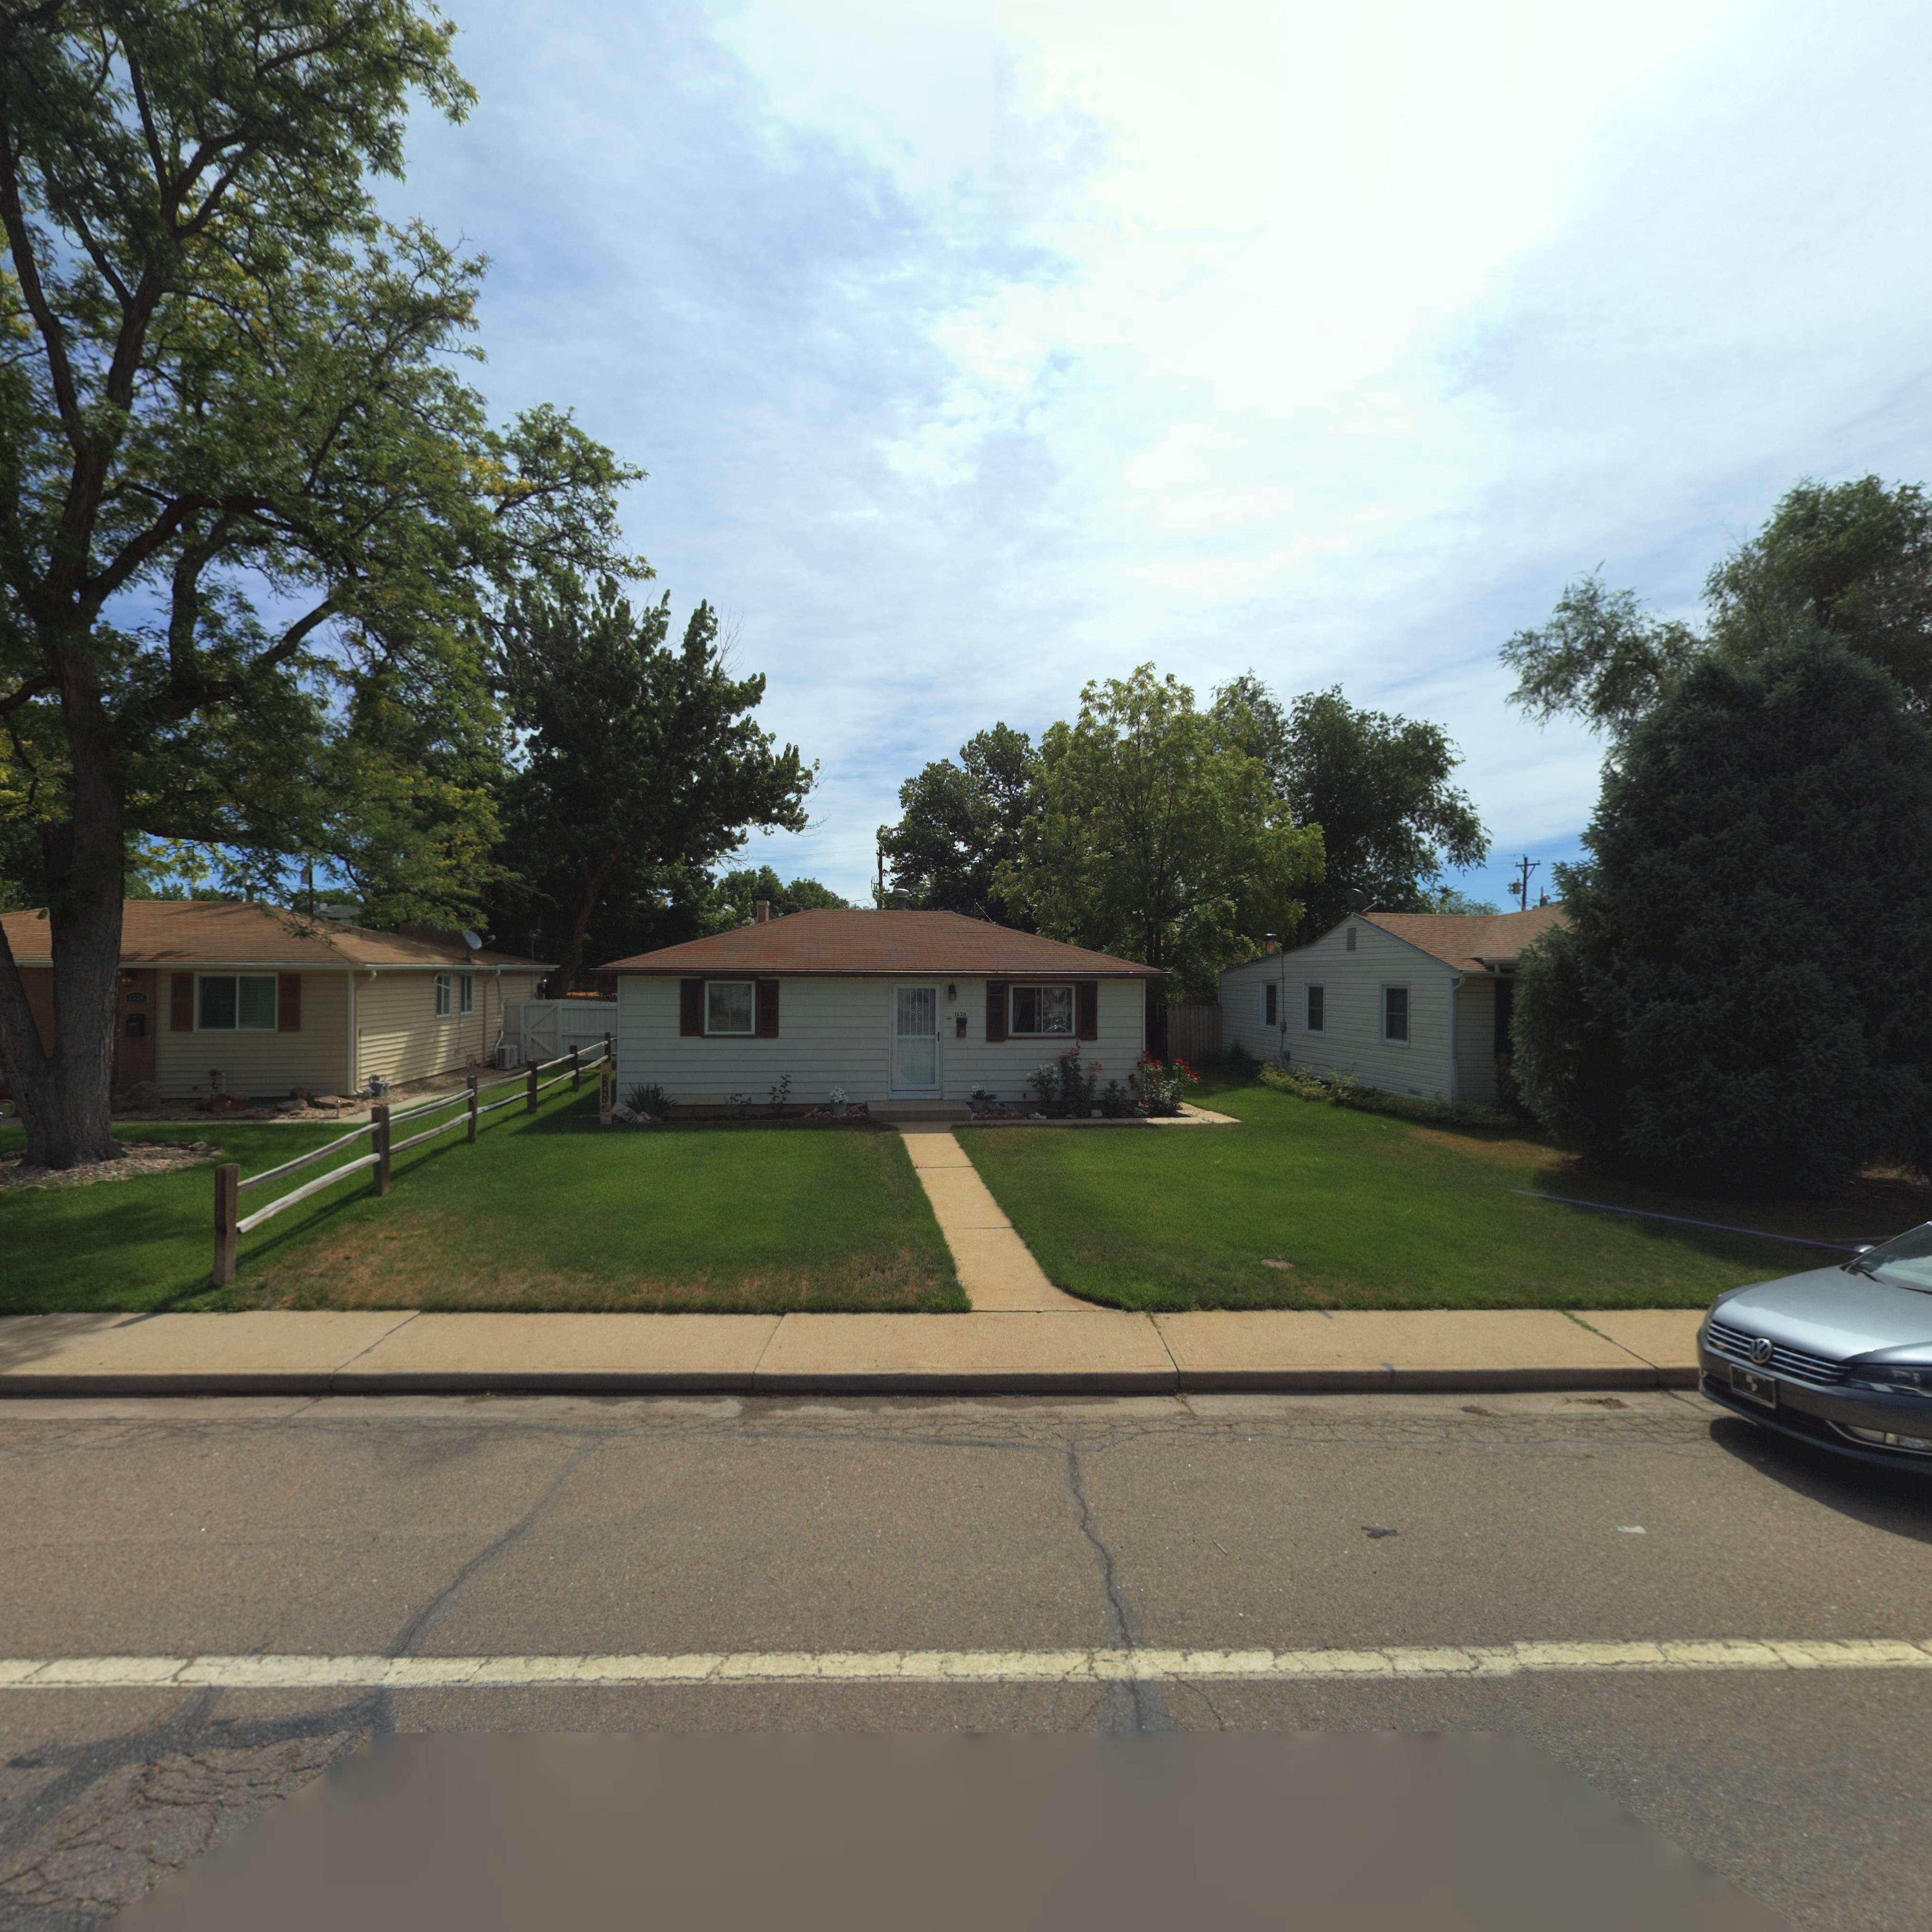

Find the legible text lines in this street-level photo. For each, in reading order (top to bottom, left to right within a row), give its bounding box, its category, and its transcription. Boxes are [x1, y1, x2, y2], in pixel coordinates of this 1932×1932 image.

[128, 995, 144, 1000] StreetNumber: 13**
[954, 1012, 966, 1016] StreetNumber: 1330